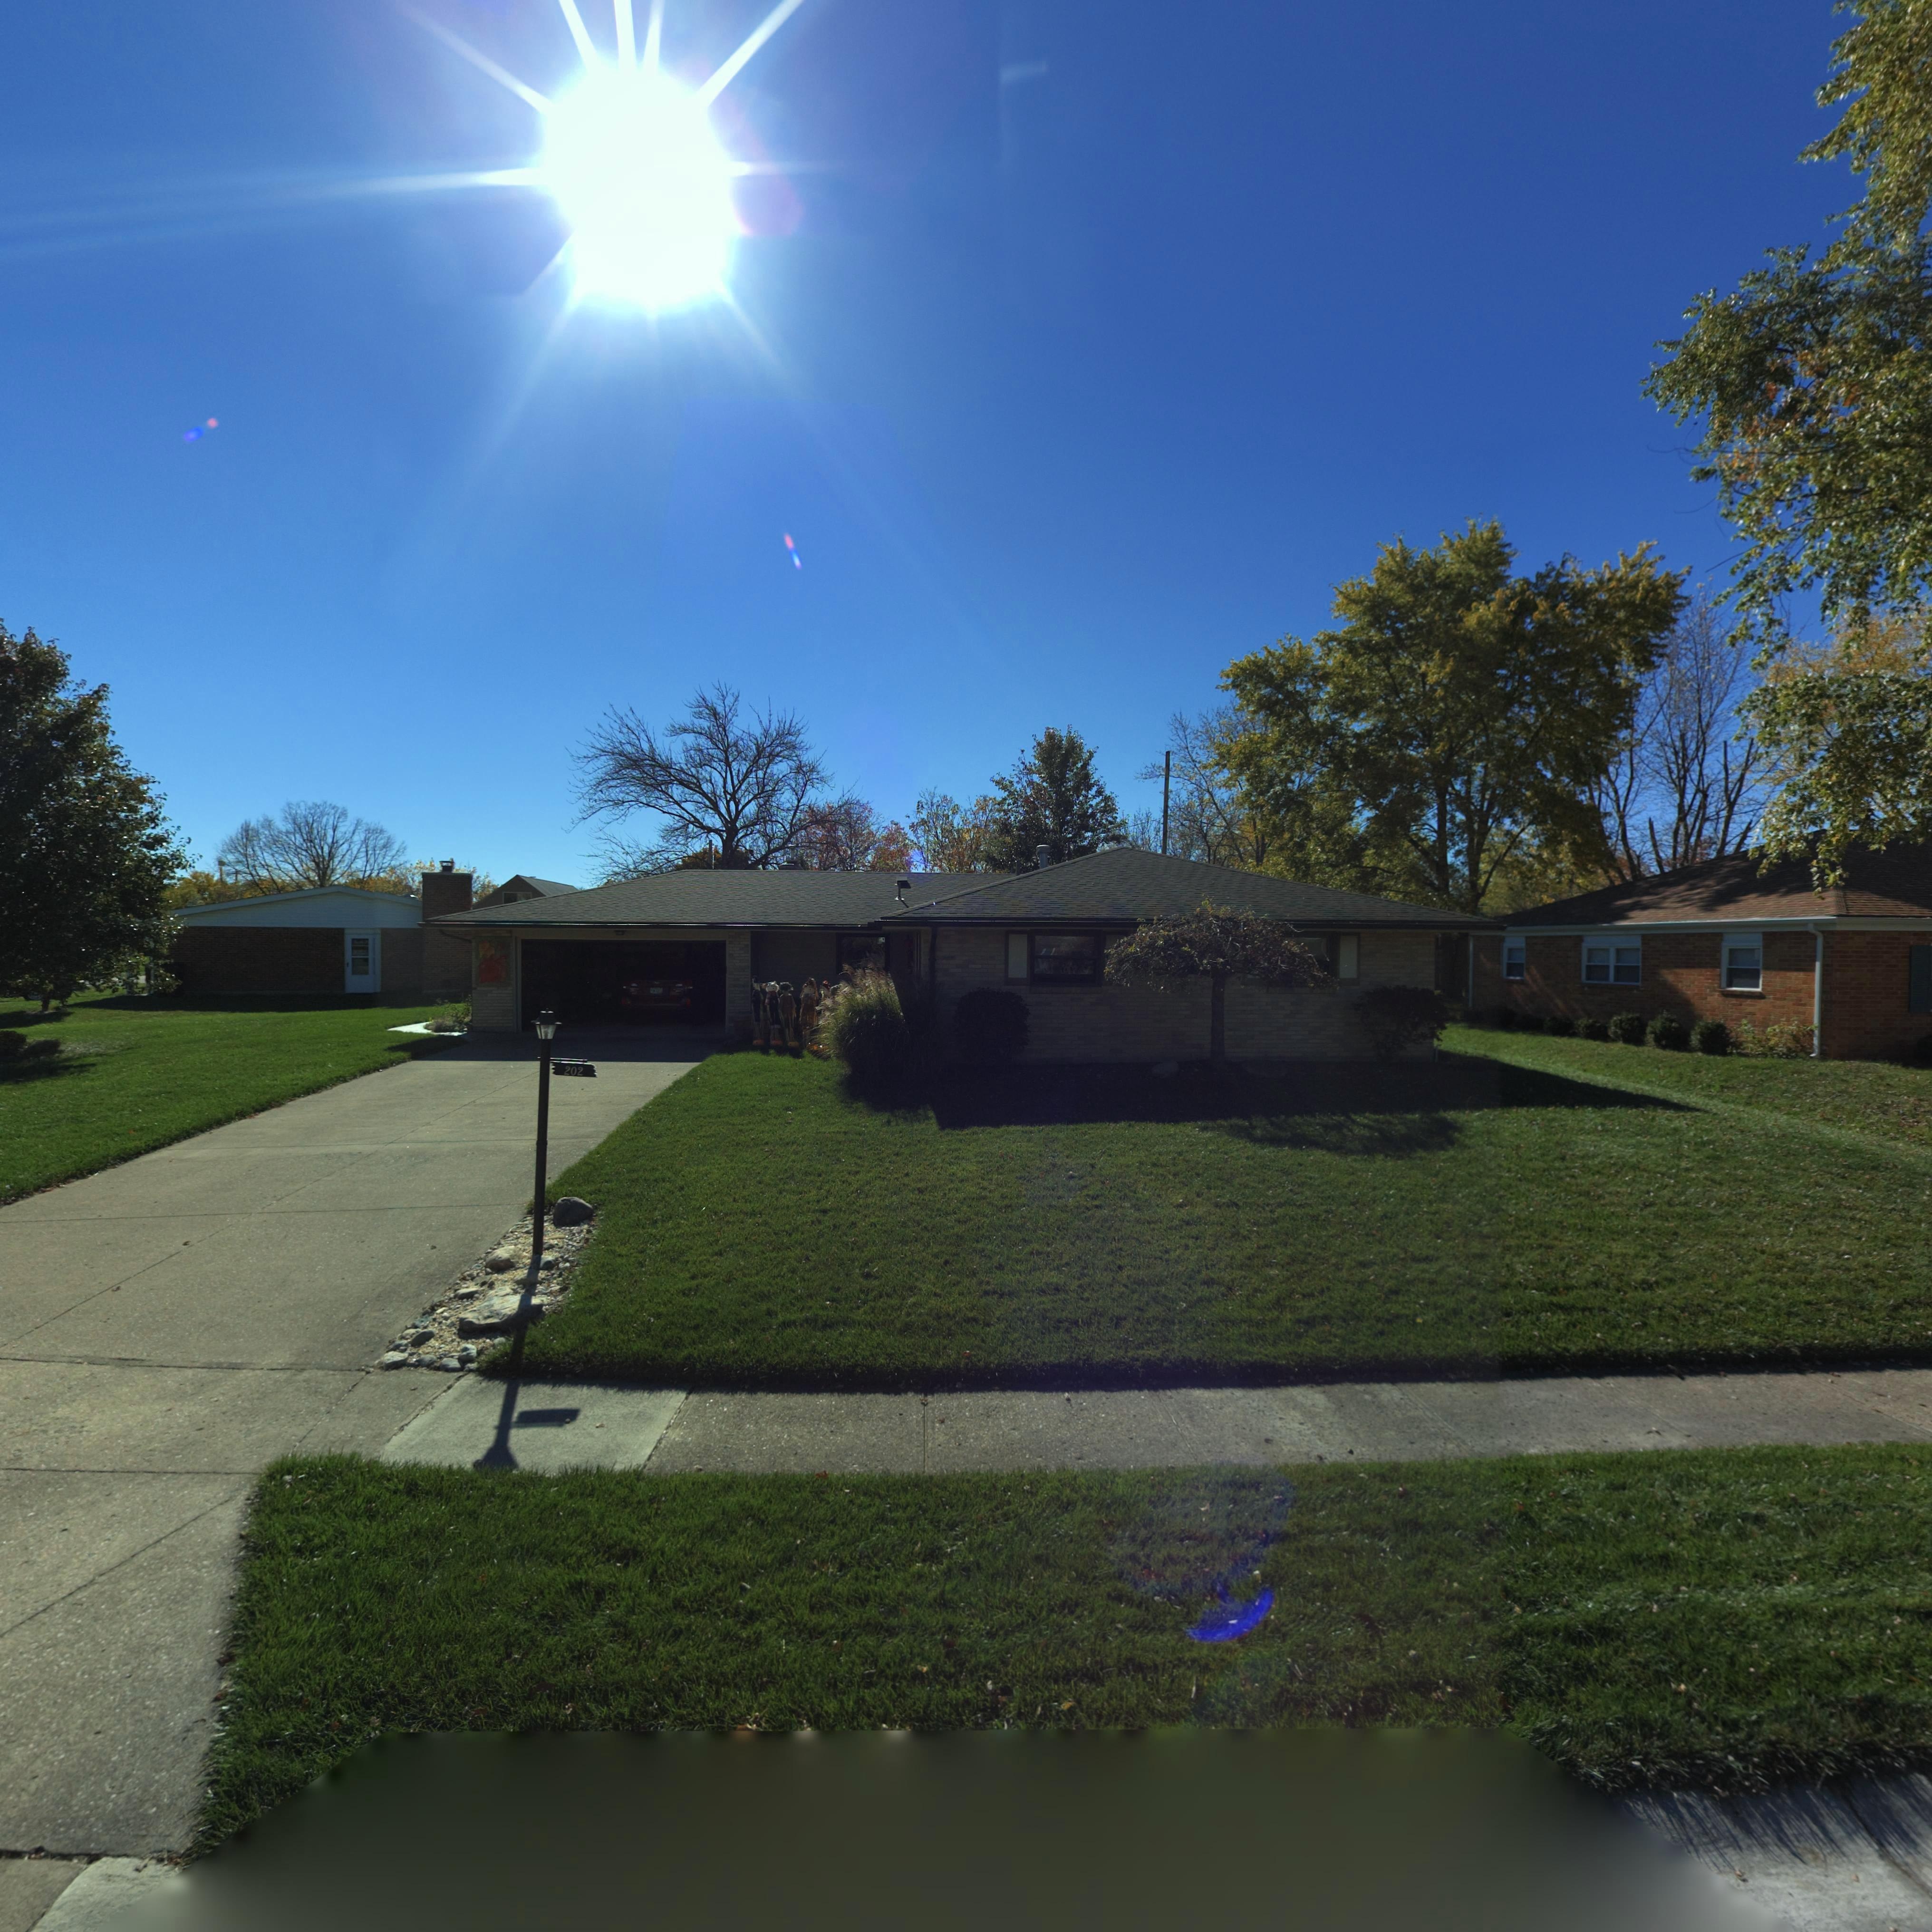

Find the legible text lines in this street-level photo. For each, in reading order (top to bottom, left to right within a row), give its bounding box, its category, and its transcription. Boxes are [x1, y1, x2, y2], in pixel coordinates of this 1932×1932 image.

[563, 1065, 584, 1077] StreetNumber: 202